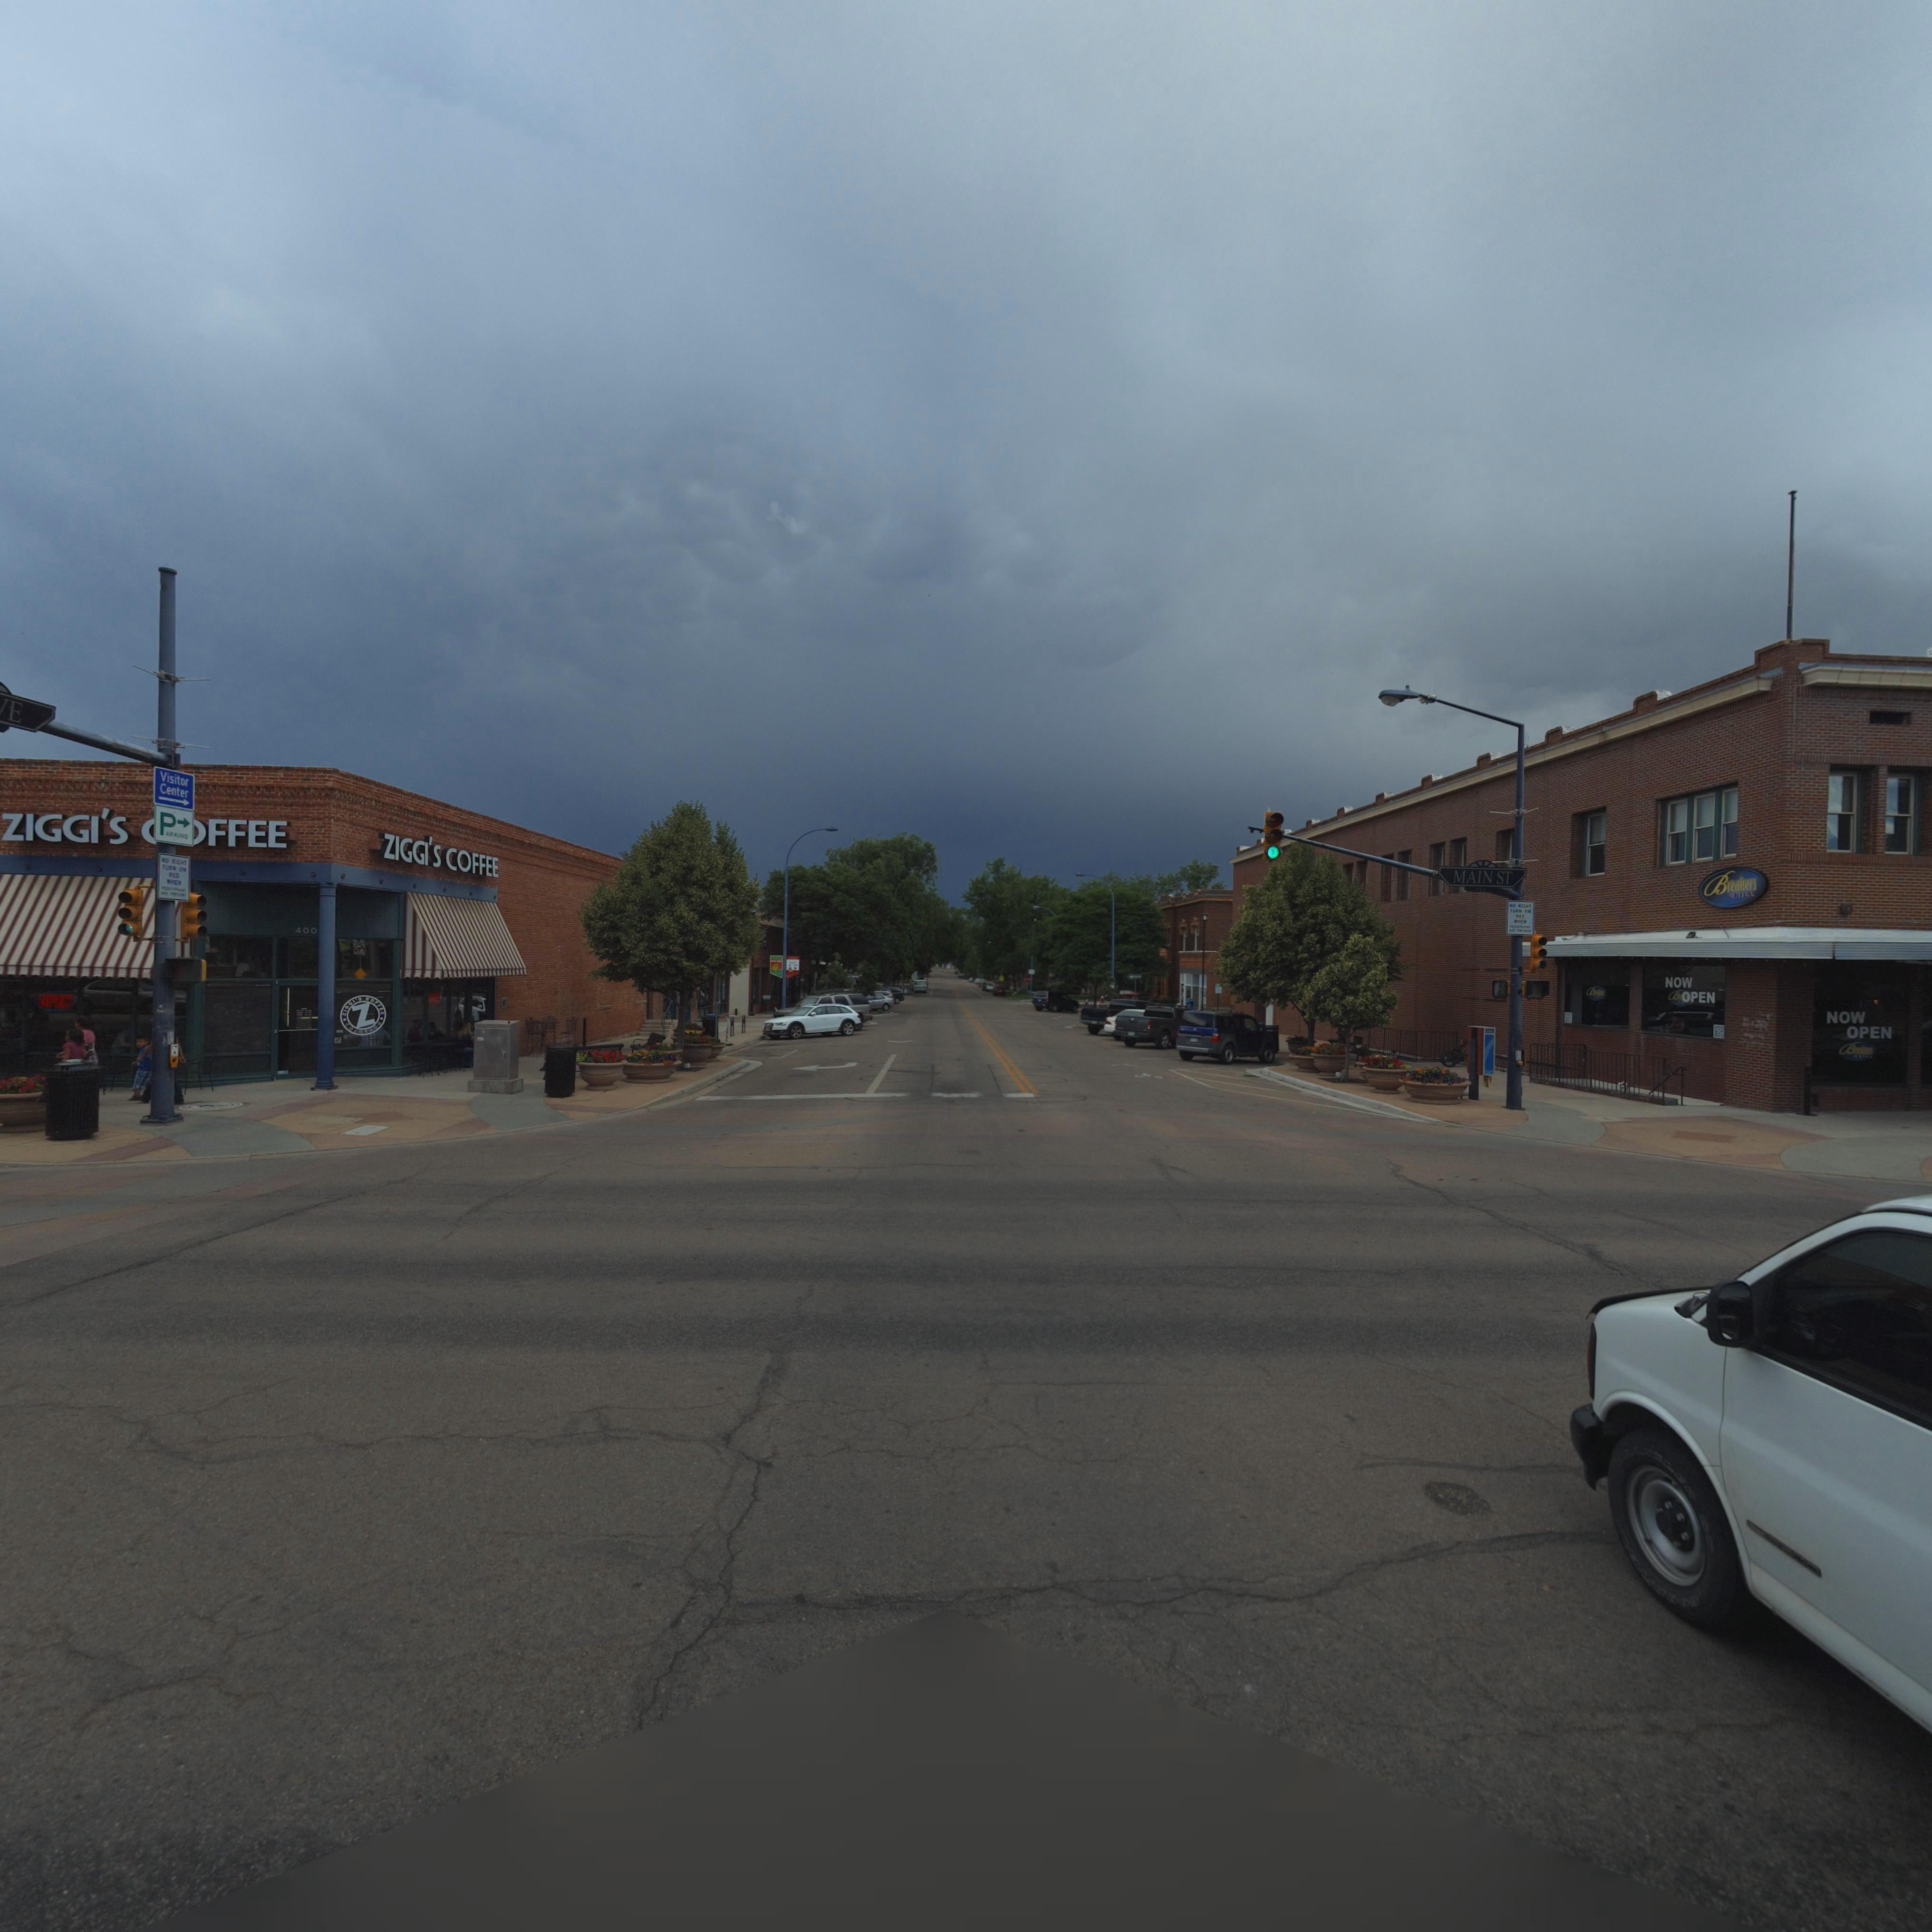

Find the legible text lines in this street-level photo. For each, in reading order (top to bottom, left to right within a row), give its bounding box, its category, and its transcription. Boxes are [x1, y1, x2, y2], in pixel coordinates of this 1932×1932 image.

[1, 807, 155, 844] BusinessName: ZIGGI'S *
[193, 819, 288, 848] BusinessName: *FFEE
[378, 833, 500, 879] BusinessName: ZIGGI'S COFFEE
[1453, 870, 1512, 884] StreetName: MAIN ST
[1703, 869, 1757, 897] BusinessName: Breakers
[1729, 891, 1755, 898] BusinessName: CHILL
[295, 927, 317, 934] StreetNumber: 400
[1586, 985, 1604, 996] BusinessName: B******s
[1668, 990, 1681, 1001] BusinessName: B
[342, 996, 385, 1016] BusinessName: ZIGGI'S COFFEE
[1837, 1041, 1874, 1055] BusinessName: Bre*****